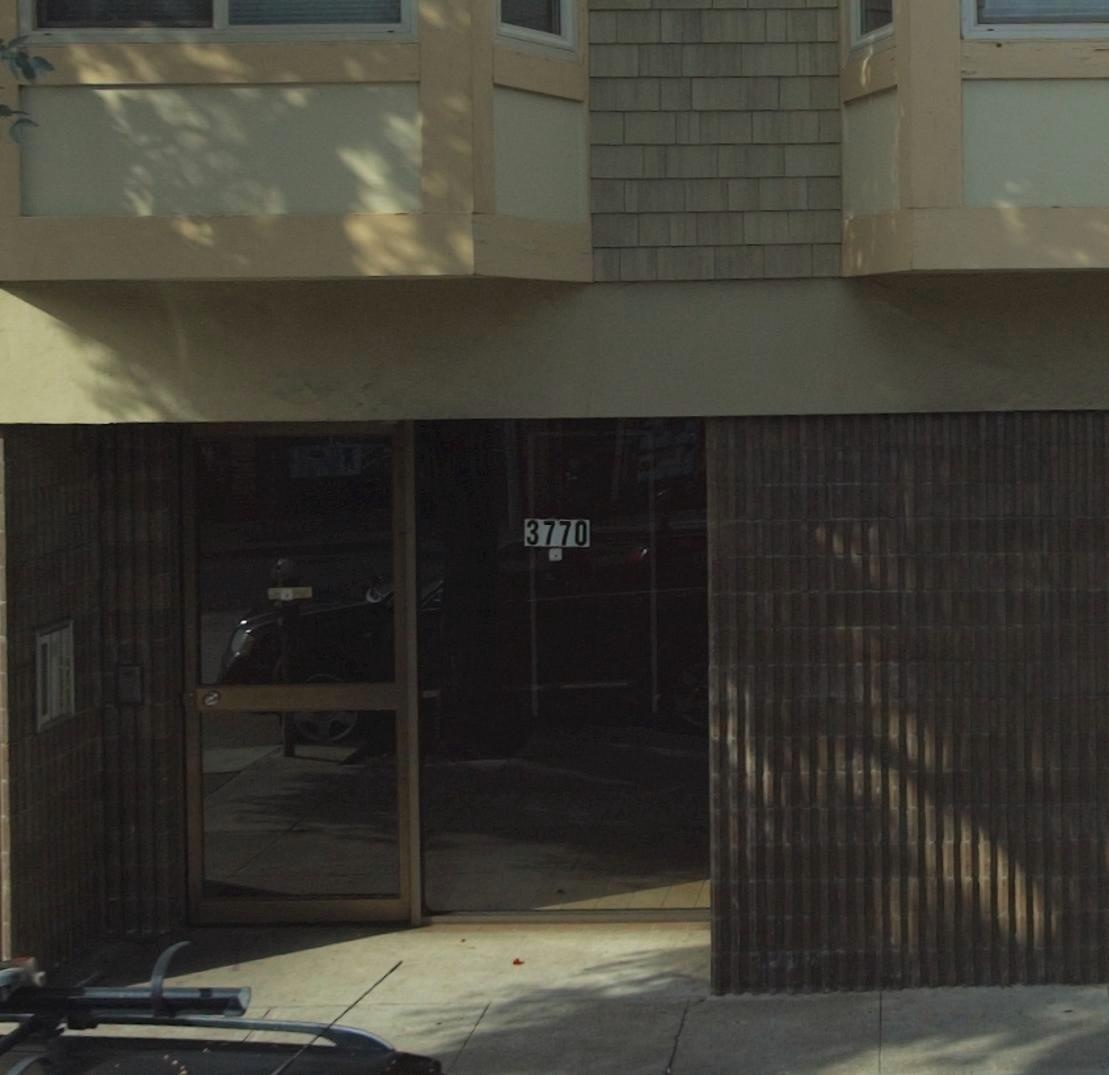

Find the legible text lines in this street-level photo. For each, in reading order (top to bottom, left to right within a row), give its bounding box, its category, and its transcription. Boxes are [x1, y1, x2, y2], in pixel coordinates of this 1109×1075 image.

[525, 520, 588, 547] StreetNumber: 3770